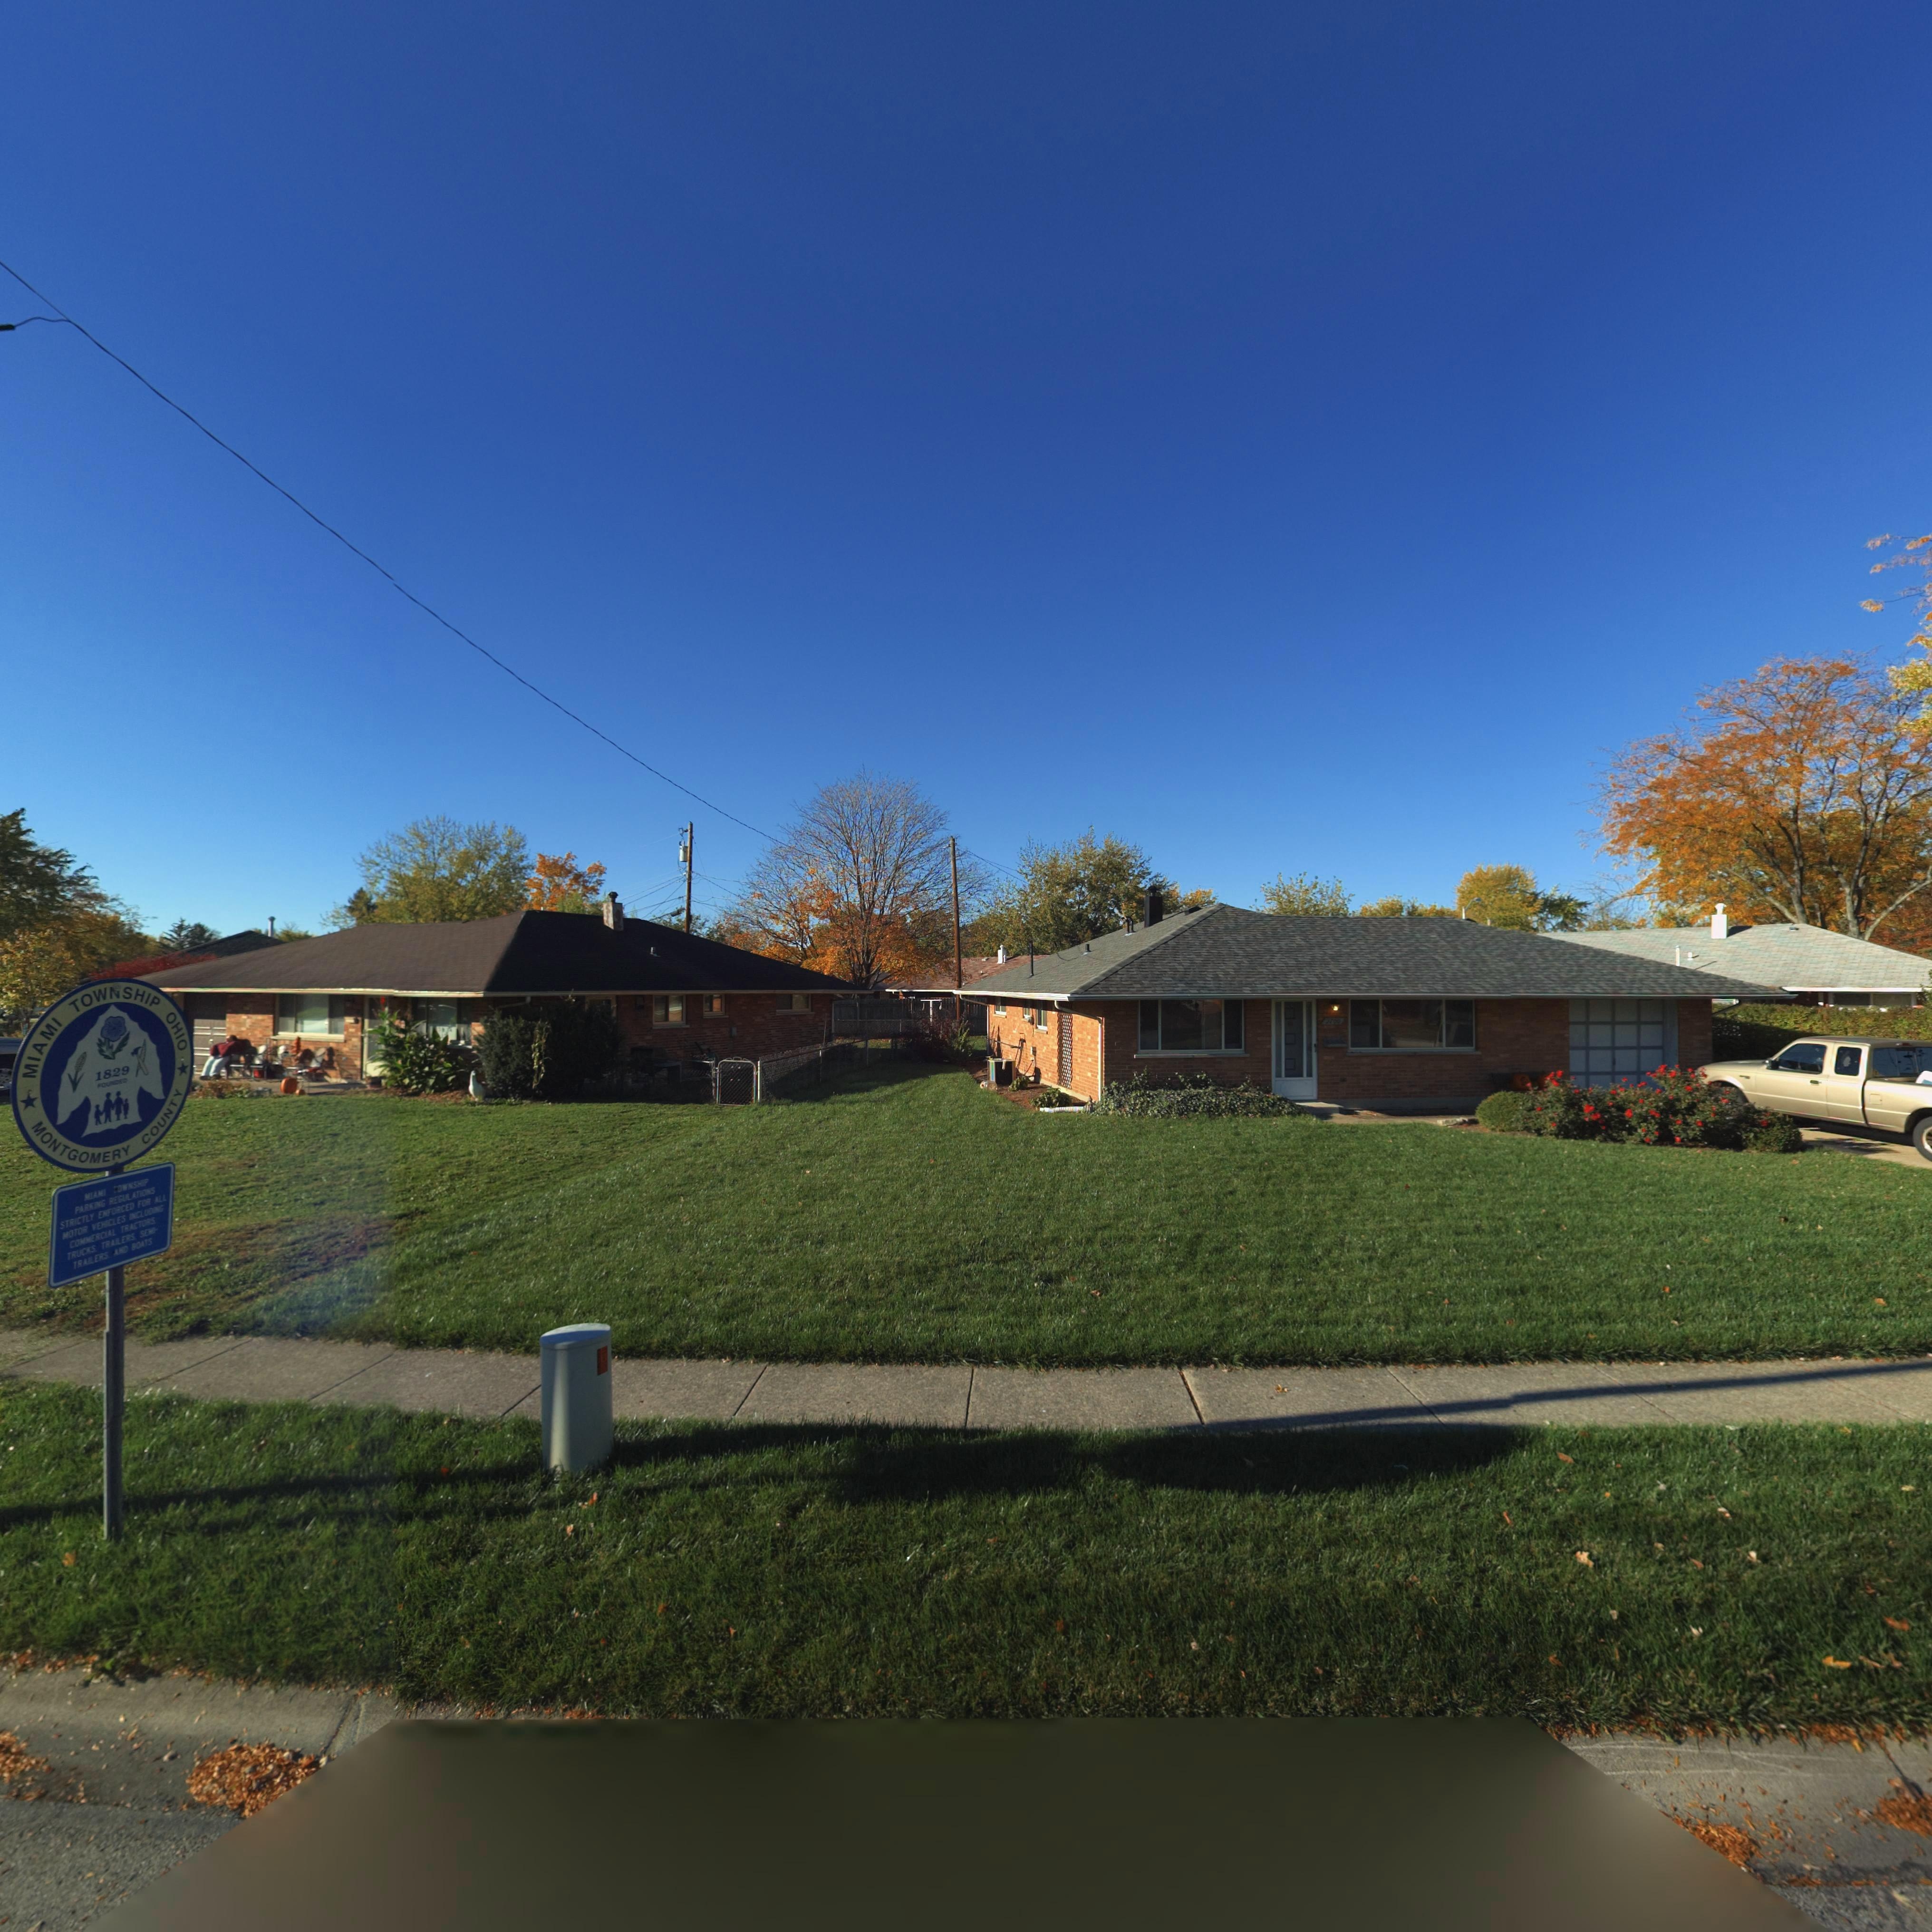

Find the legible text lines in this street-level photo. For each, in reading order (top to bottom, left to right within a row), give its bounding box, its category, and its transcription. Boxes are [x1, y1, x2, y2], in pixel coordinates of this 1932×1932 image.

[1324, 1018, 1341, 1025] StreetNumber: 2700